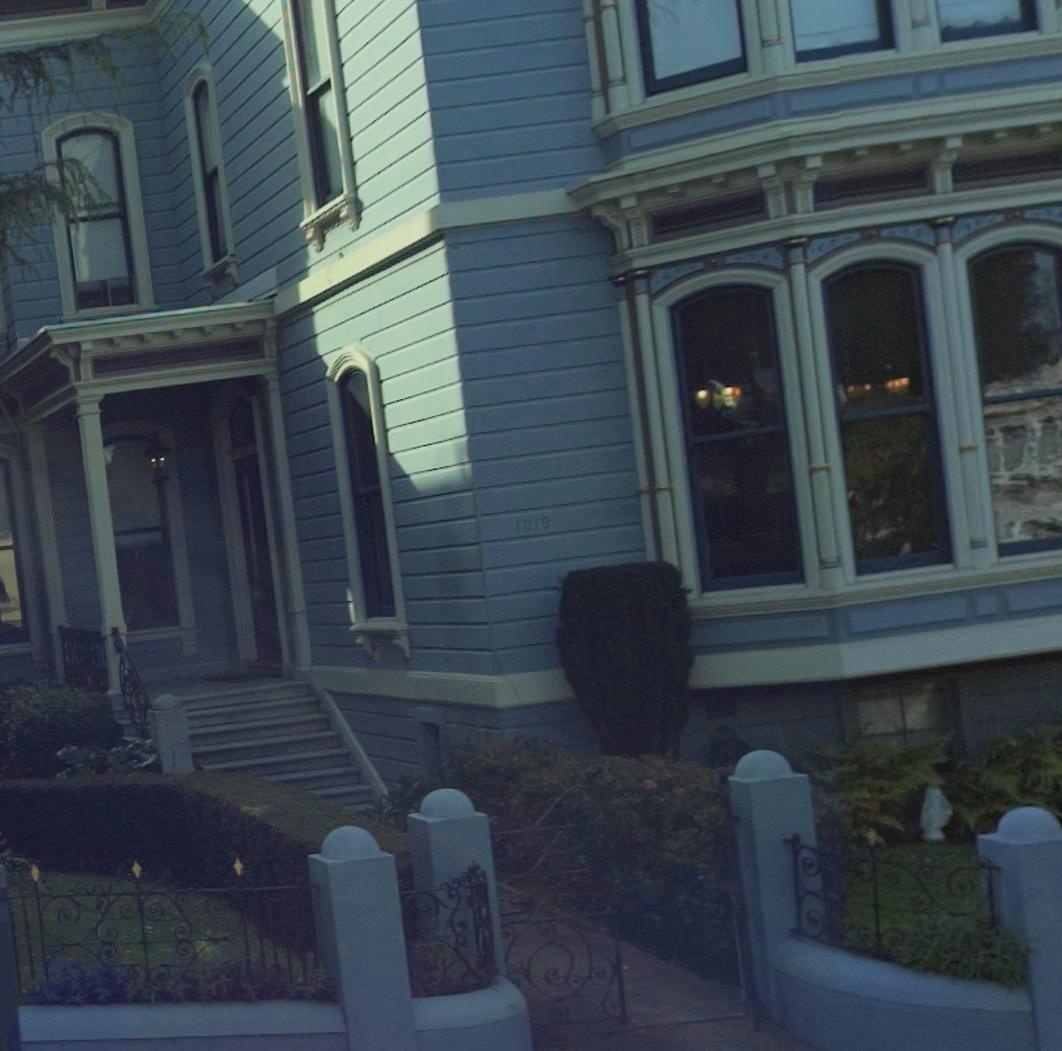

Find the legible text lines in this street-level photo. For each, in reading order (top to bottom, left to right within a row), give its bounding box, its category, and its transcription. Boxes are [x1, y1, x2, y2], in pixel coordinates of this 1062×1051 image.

[515, 514, 551, 534] StreetNumber: 1010